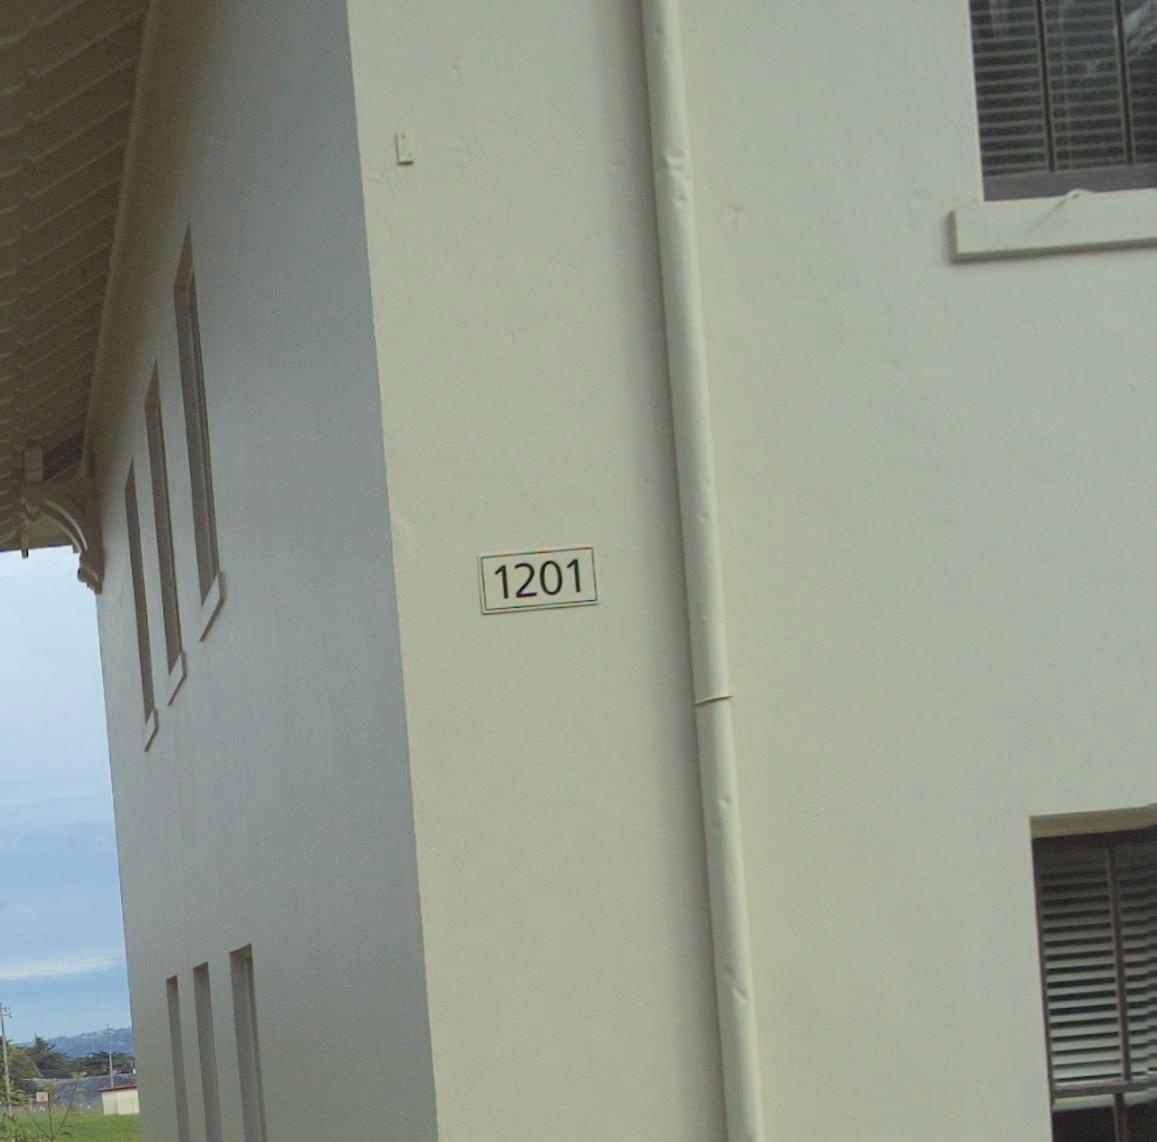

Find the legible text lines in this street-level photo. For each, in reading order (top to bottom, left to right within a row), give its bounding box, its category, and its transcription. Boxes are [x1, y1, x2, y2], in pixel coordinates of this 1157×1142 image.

[492, 557, 583, 600] StreetNumber: 1201